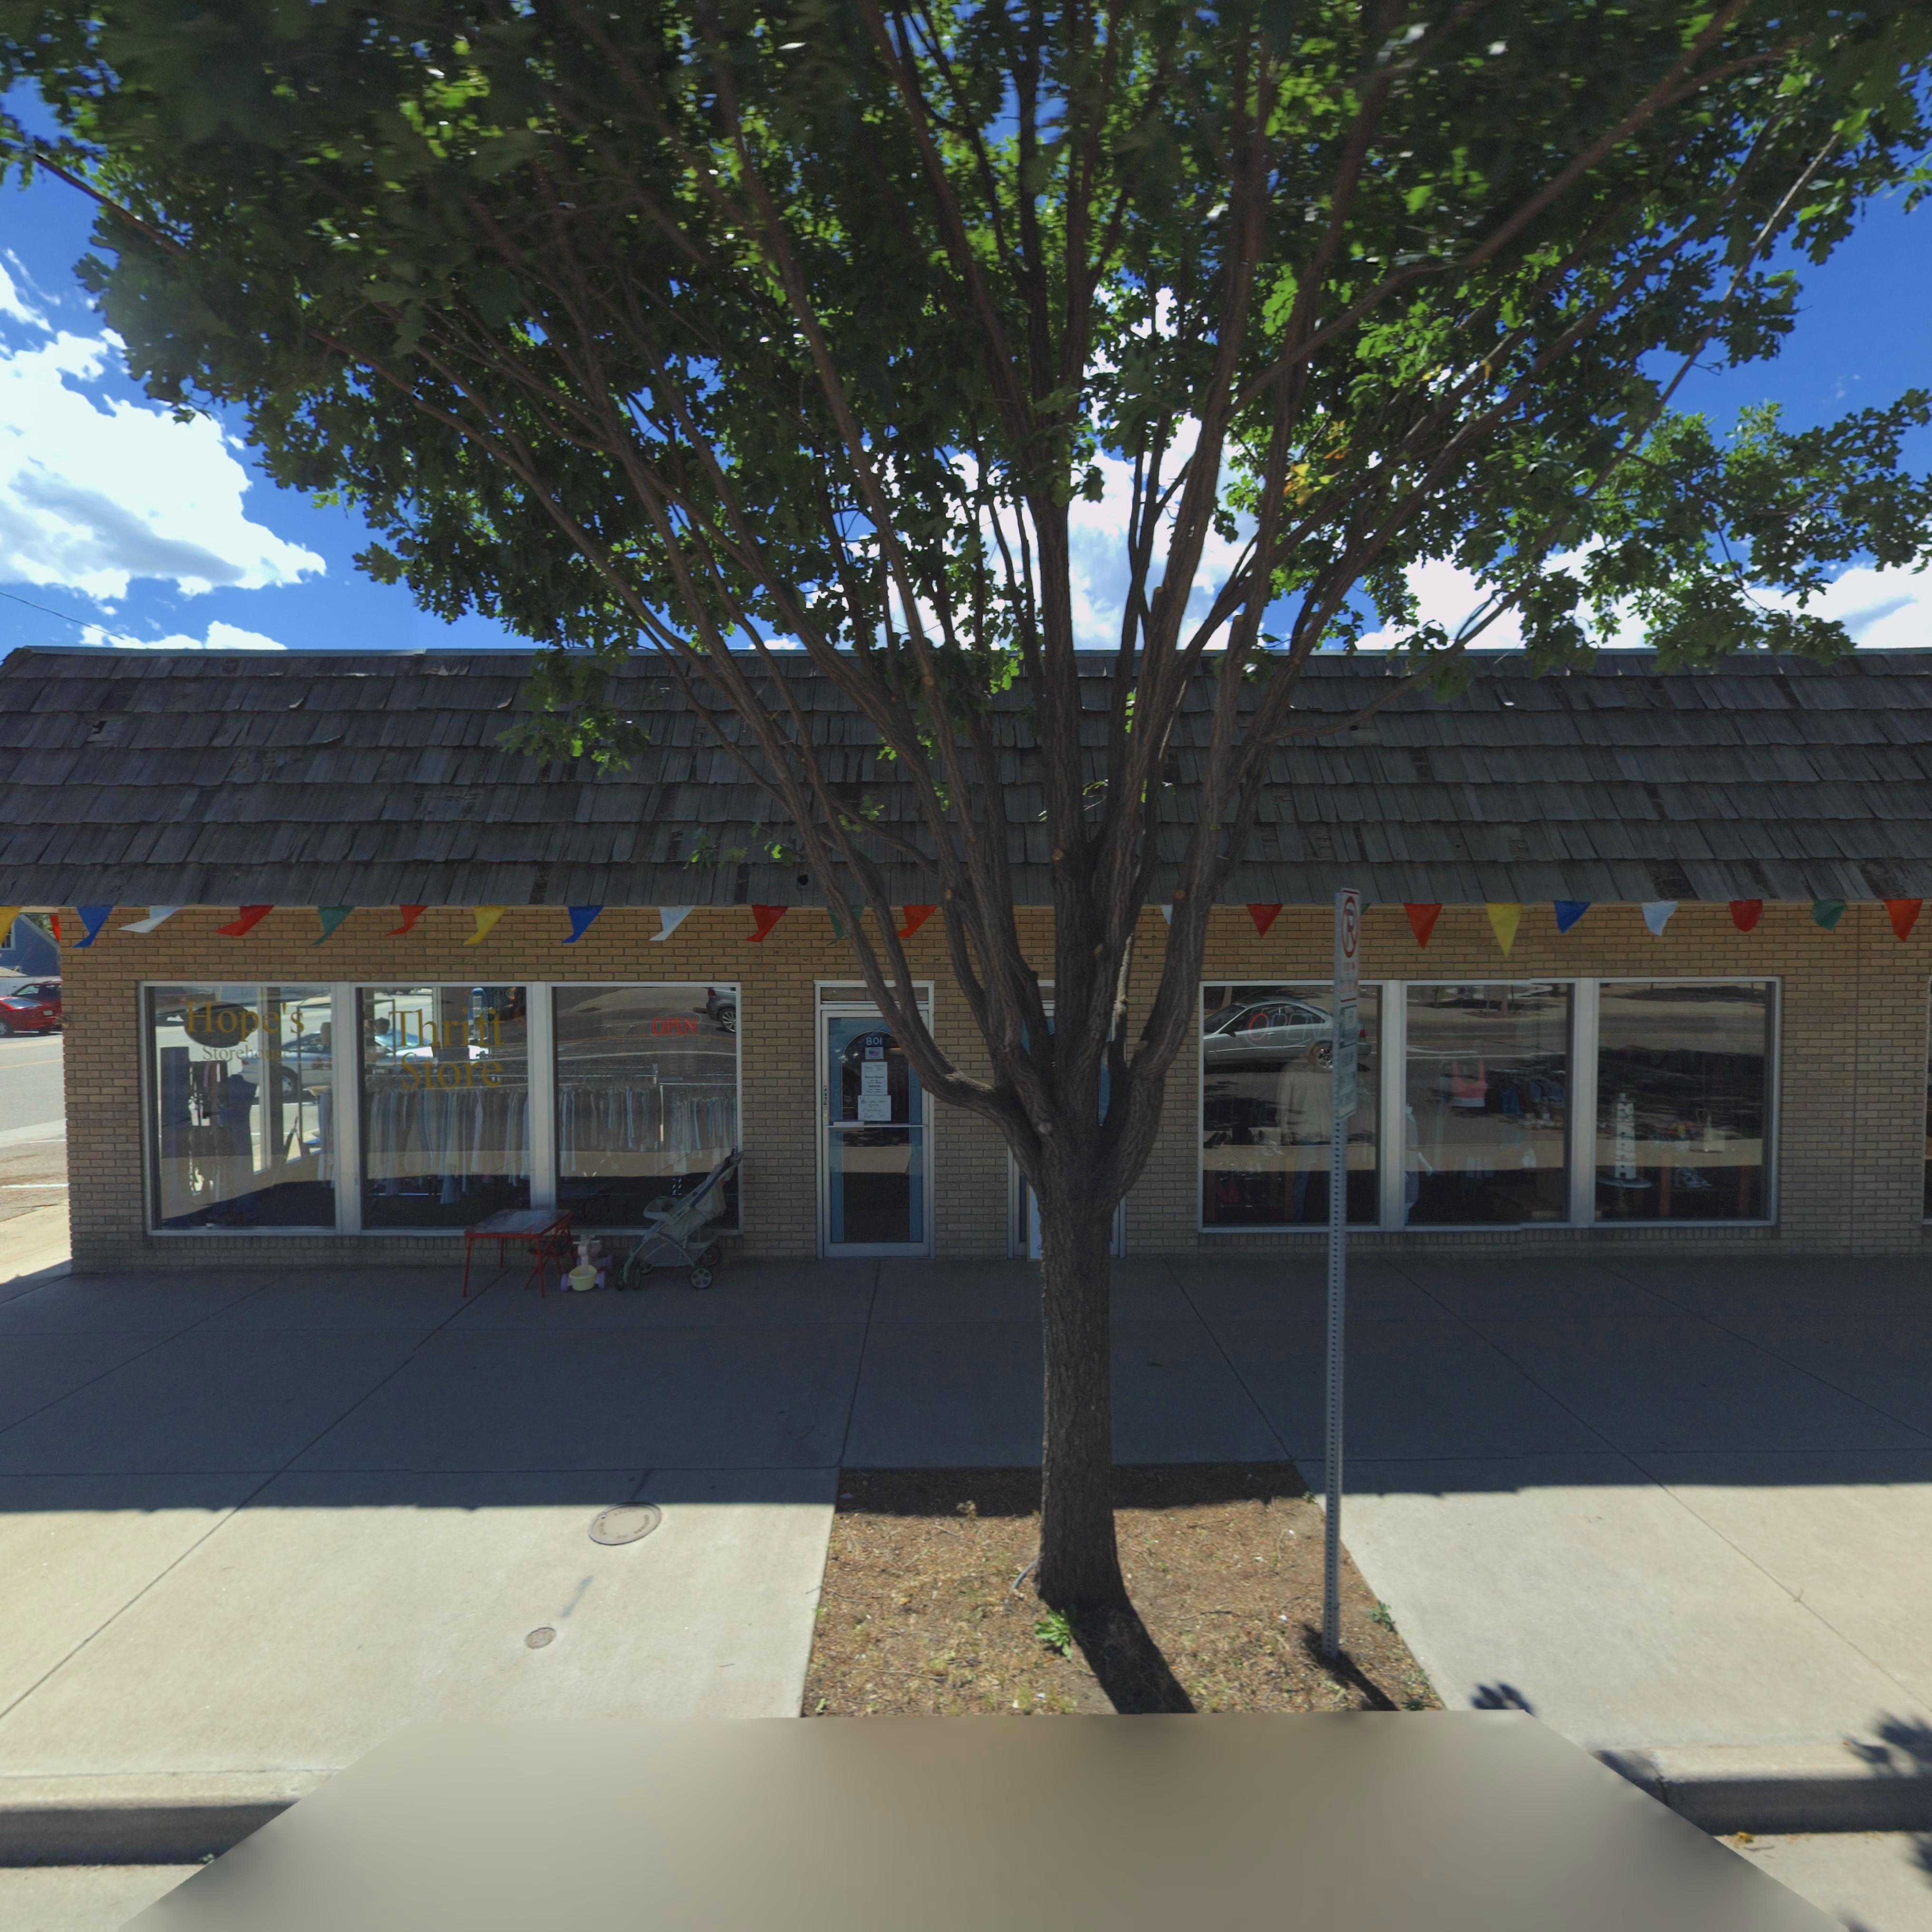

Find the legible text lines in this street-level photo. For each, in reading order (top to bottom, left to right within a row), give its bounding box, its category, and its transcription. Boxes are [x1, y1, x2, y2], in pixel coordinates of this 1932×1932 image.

[184, 999, 305, 1043] BusinessName: Hope's
[866, 1036, 882, 1045] StreetNumber: 801
[201, 1043, 292, 1061] BusinessName: Storehouse